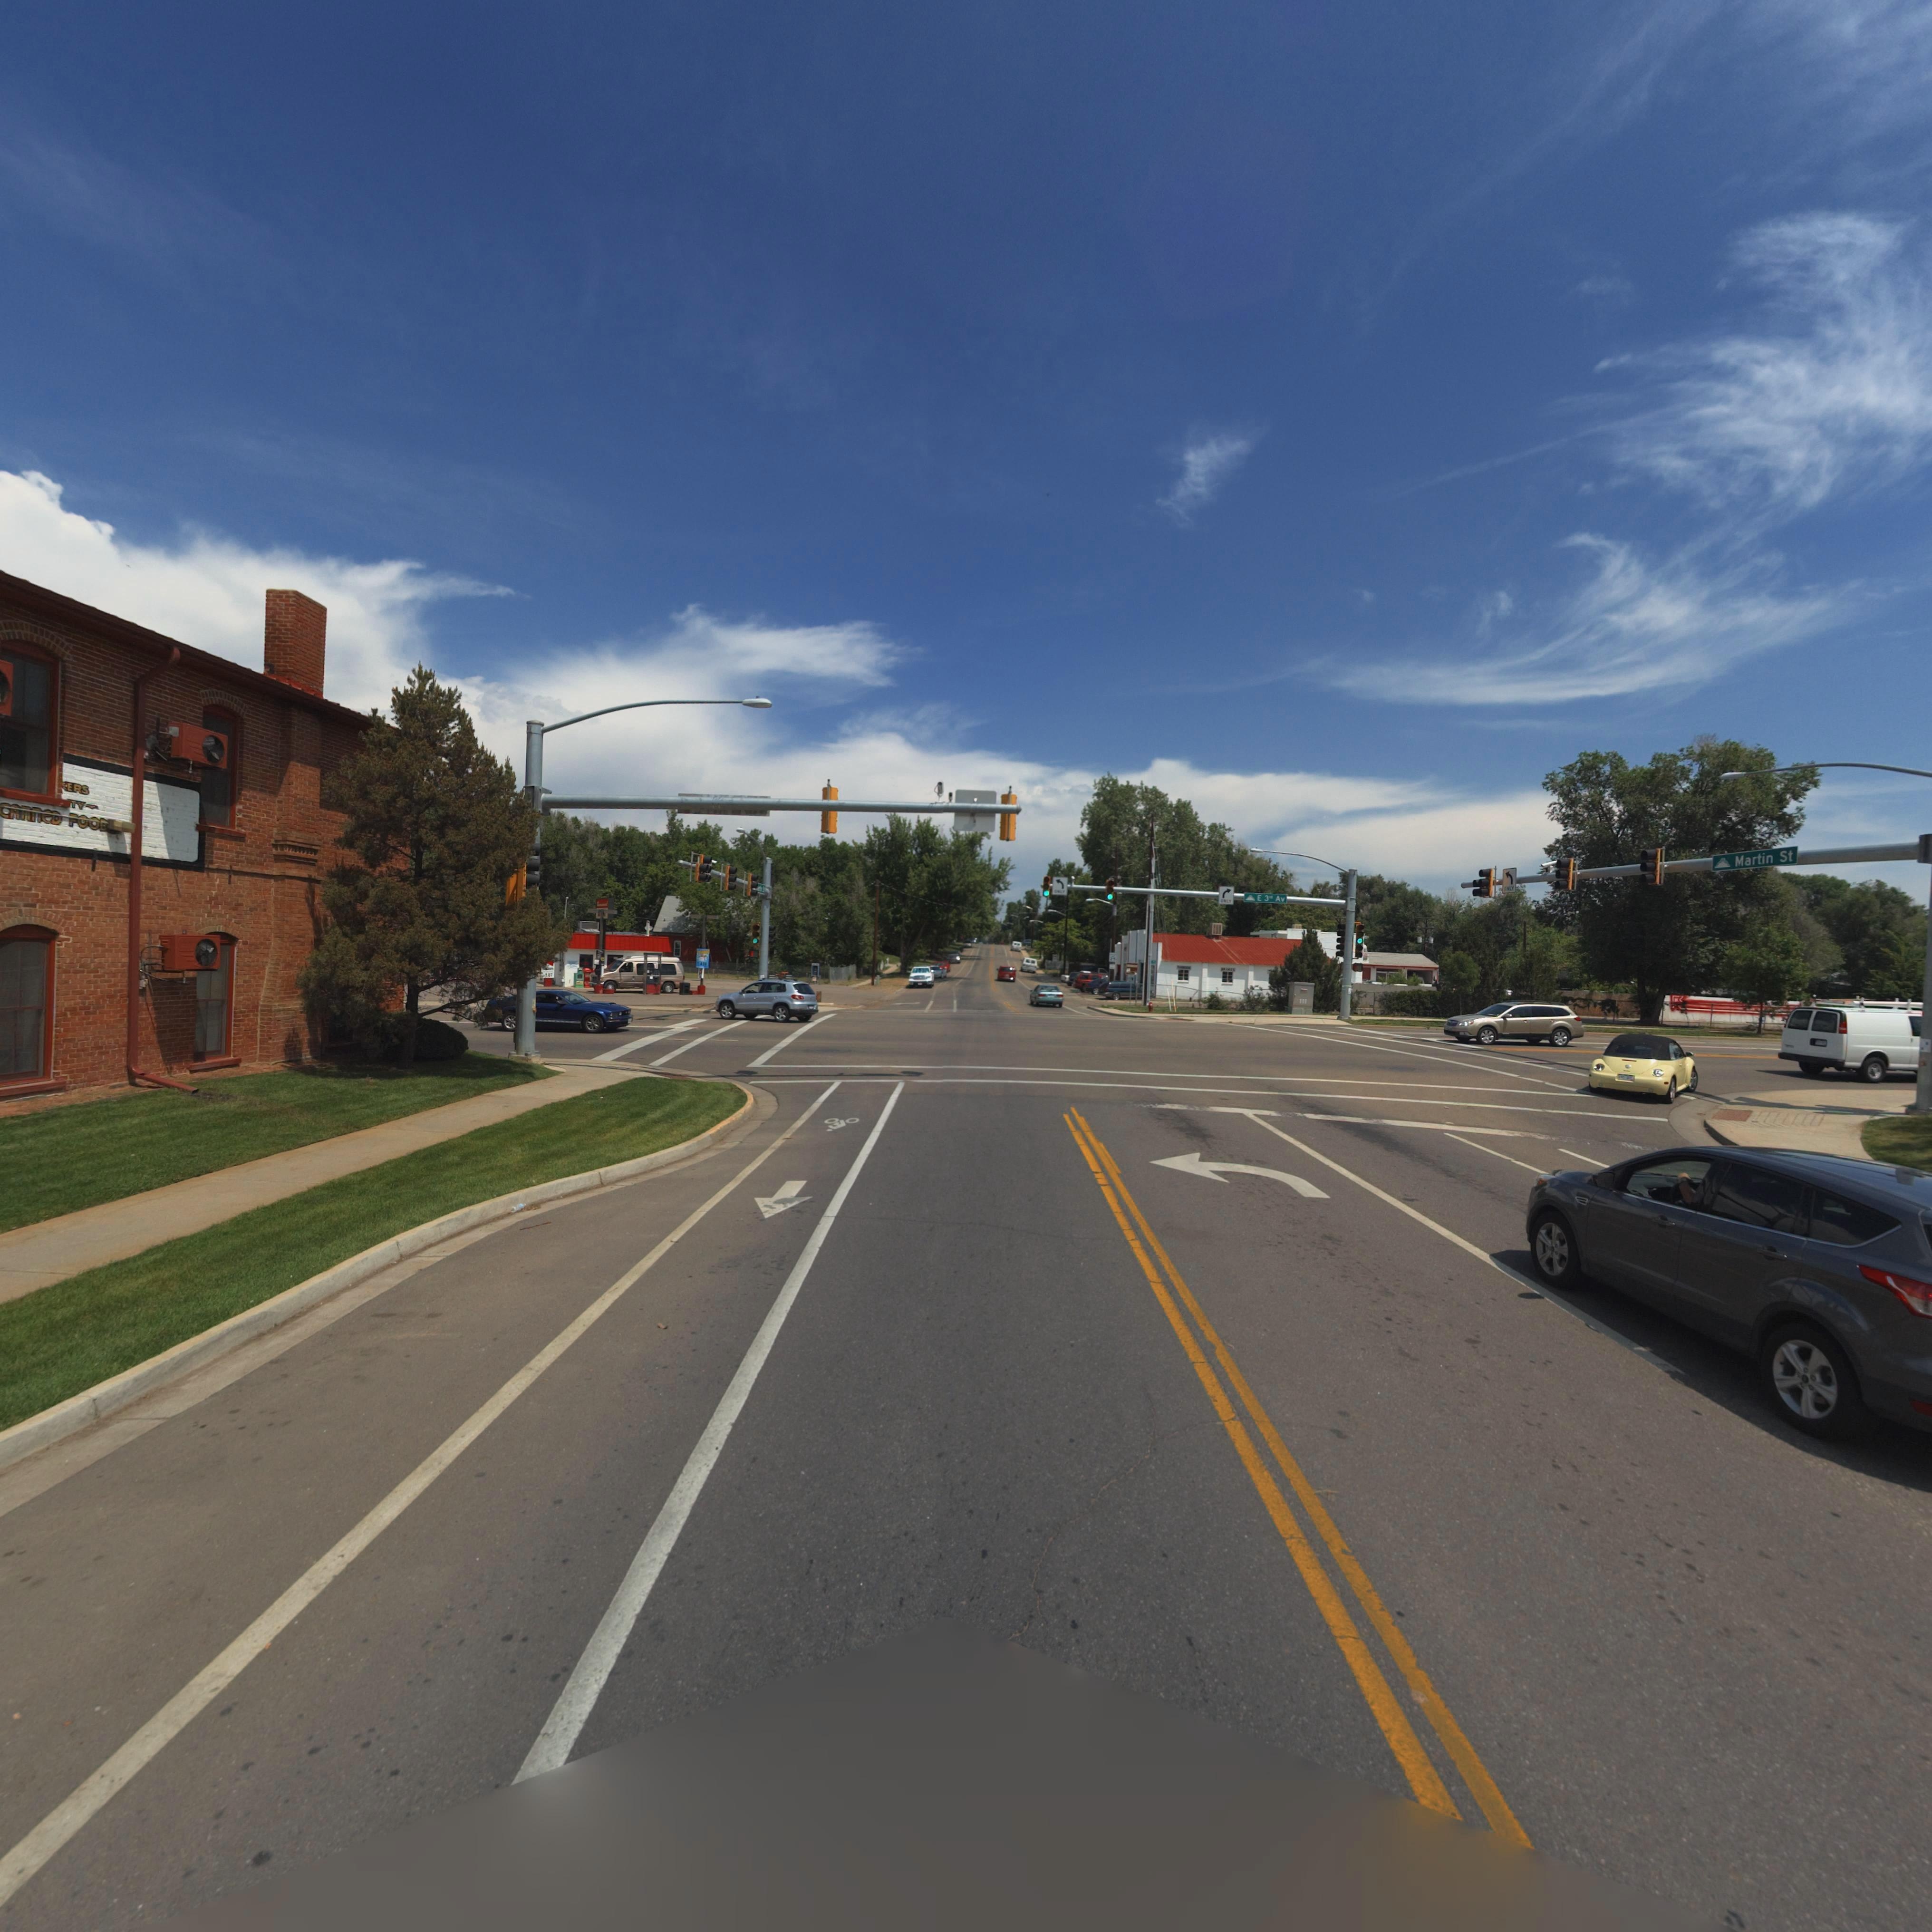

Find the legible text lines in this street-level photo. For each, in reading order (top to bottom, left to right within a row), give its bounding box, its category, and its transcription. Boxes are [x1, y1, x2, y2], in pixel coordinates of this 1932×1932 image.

[1735, 850, 1793, 867] StreetName: Martin St
[757, 885, 765, 892] StreetName: artin S*
[1257, 894, 1285, 902] StreetName: E 3rd Av
[597, 901, 608, 906] BusinessName: Gasamat